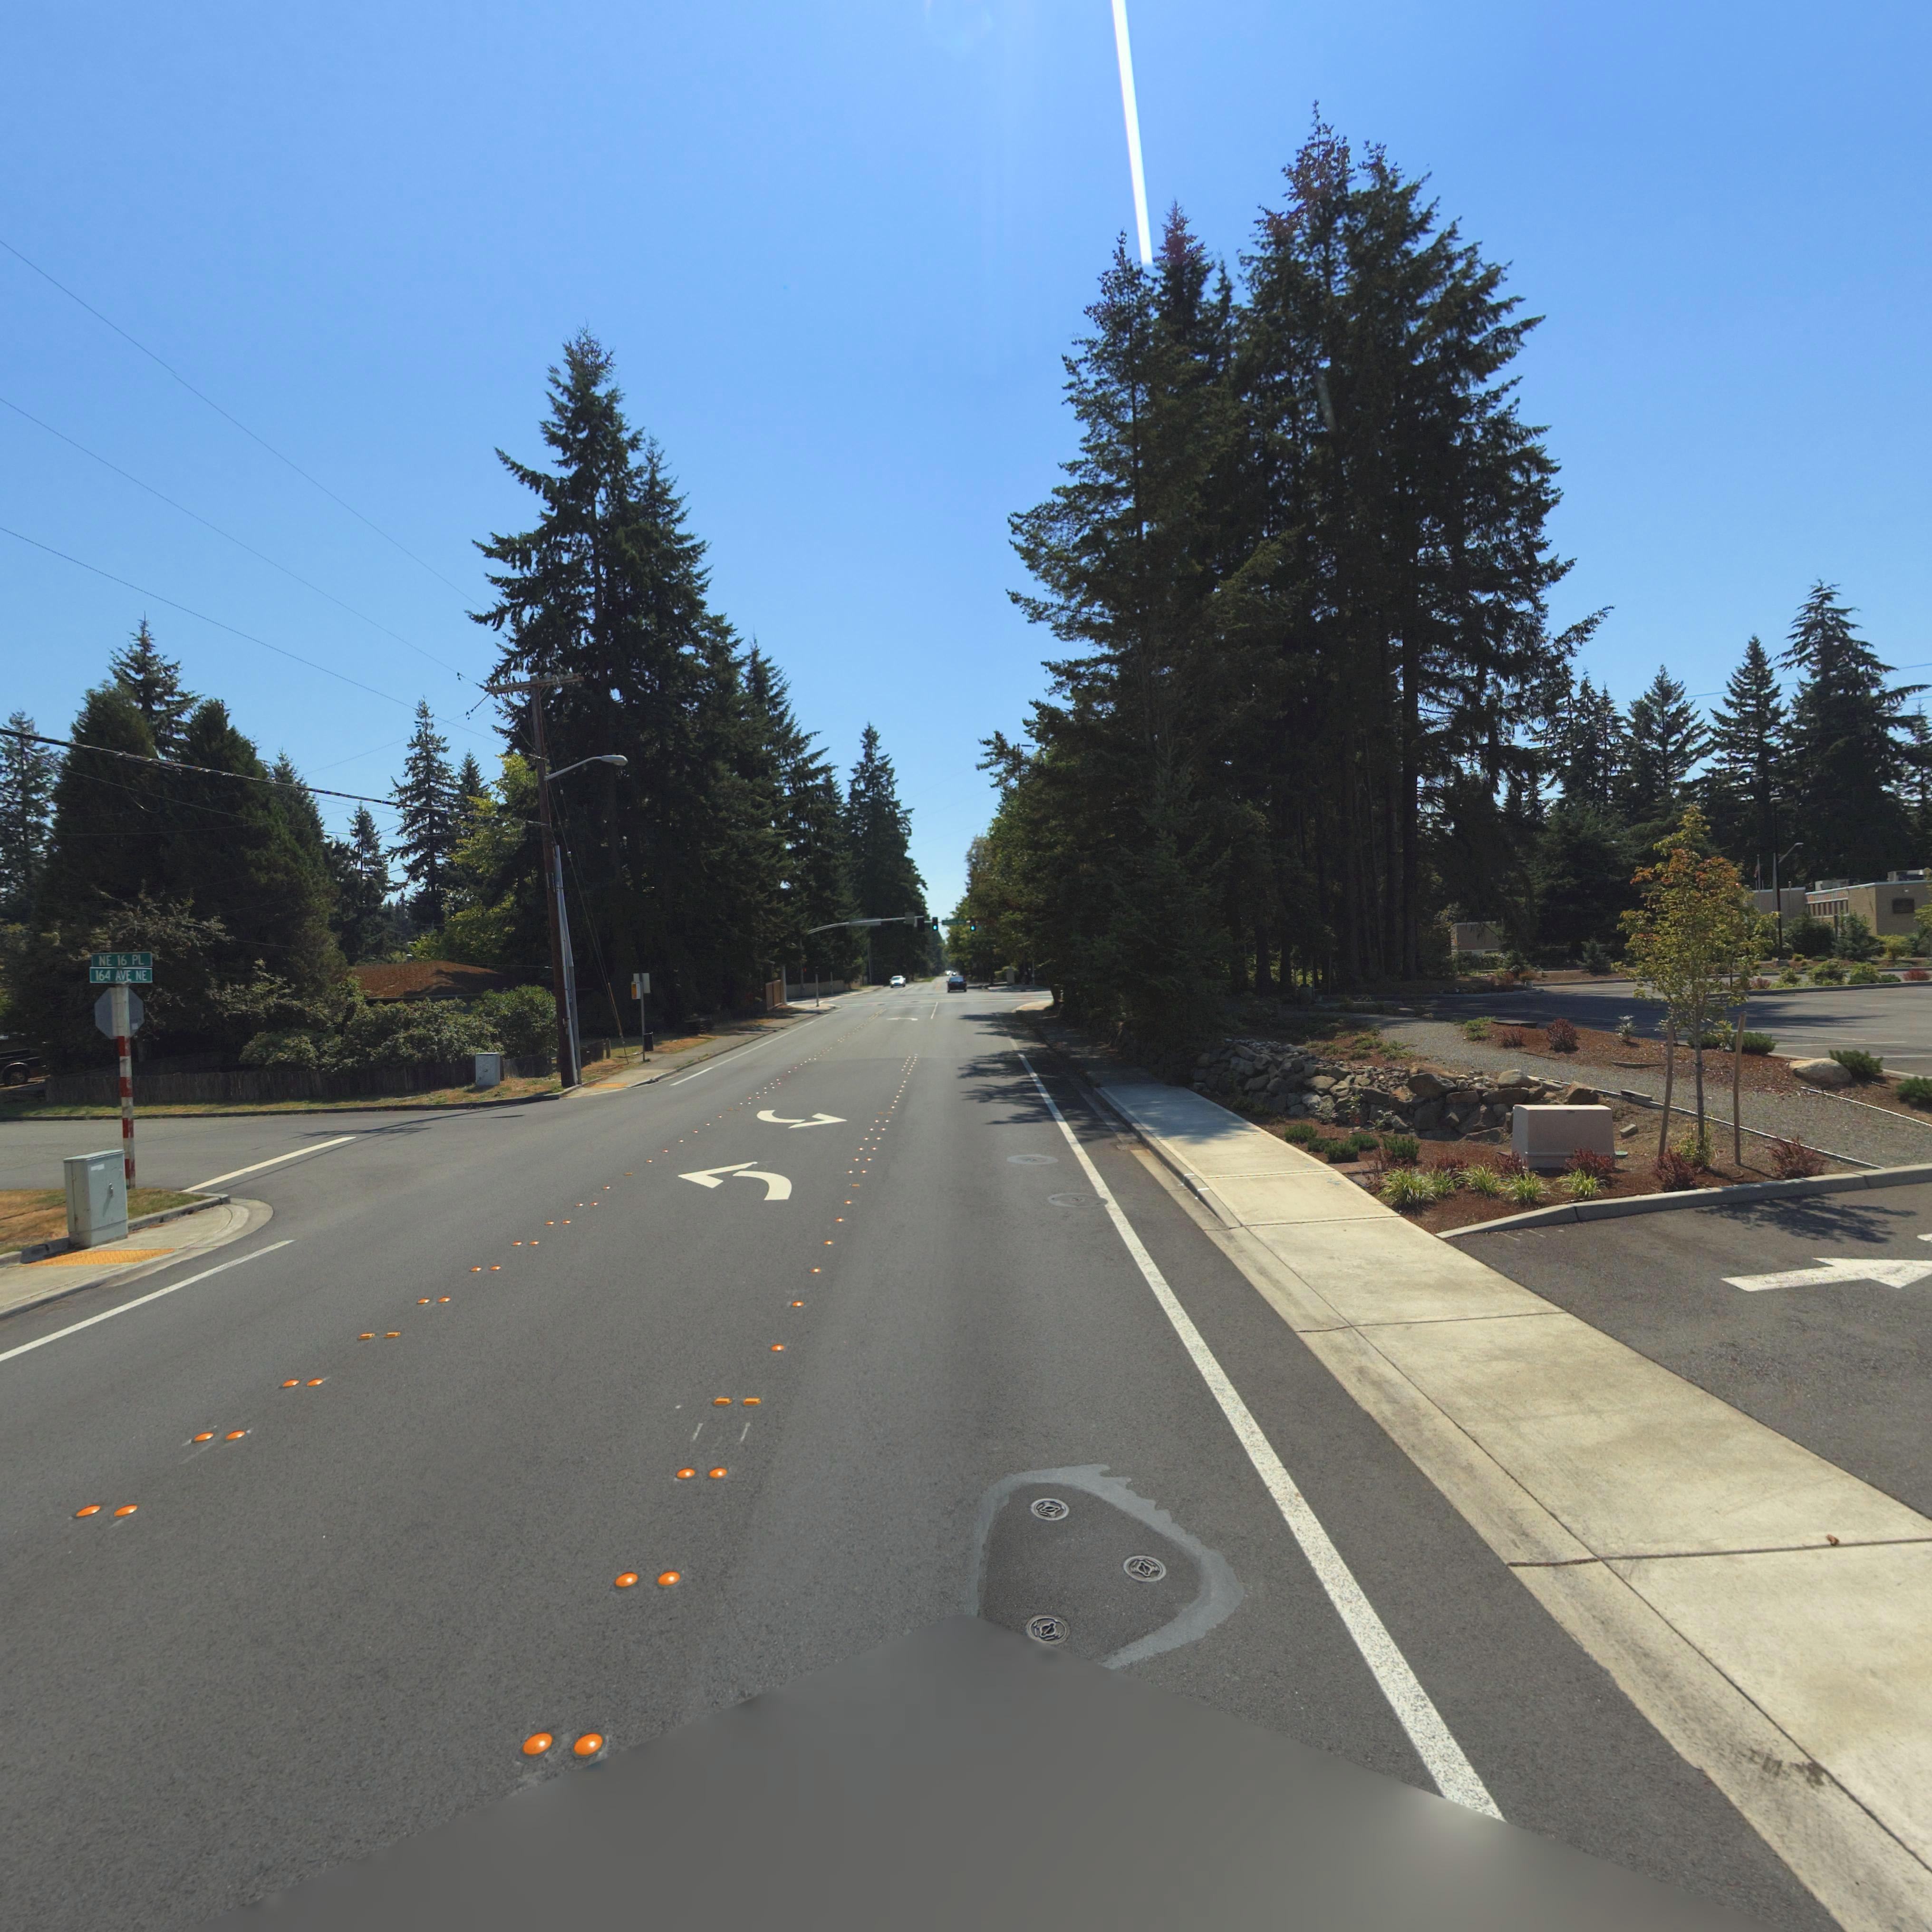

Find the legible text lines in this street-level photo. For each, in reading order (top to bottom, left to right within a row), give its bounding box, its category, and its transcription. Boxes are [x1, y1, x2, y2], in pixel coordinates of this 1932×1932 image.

[98, 954, 144, 966] StreetName: NE 16 PL
[95, 969, 147, 980] StreetName: 164 AVE NE